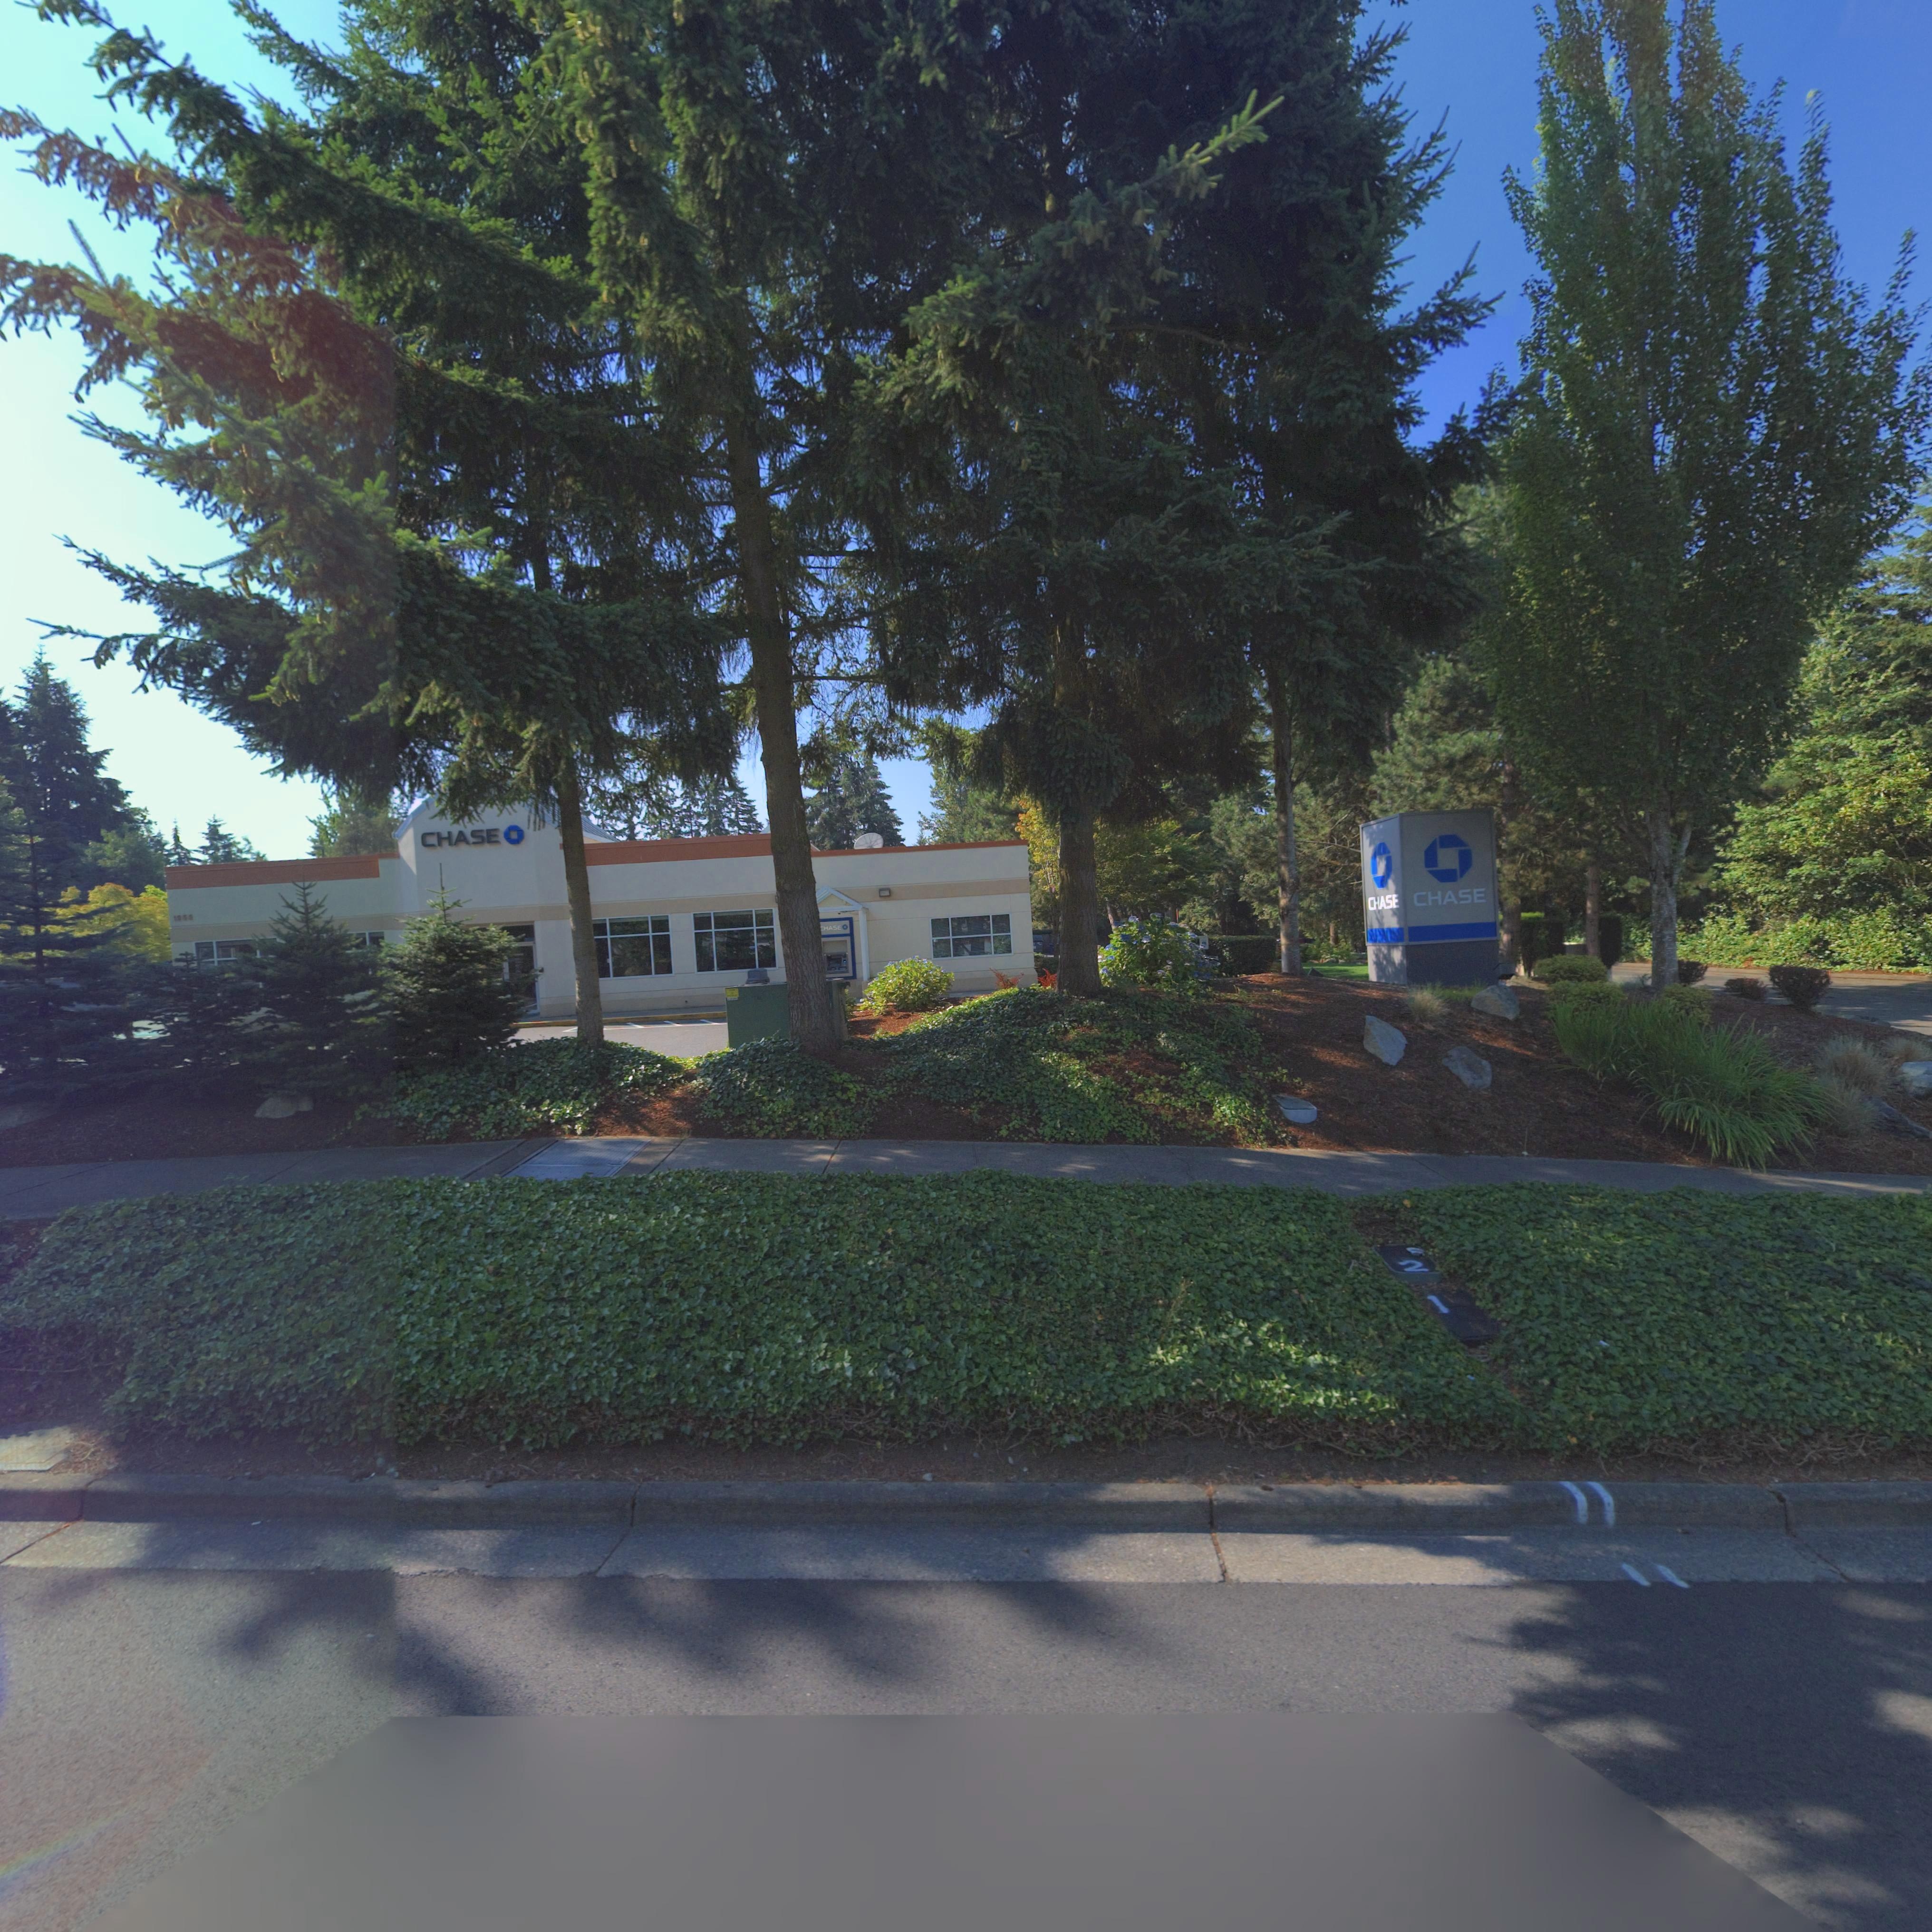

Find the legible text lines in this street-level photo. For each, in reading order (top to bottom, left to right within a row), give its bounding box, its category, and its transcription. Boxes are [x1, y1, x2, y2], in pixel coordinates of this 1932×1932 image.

[421, 828, 500, 848] BusinessName: CHASE
[1367, 893, 1400, 911] BusinessName: CHASE
[1413, 888, 1487, 907] BusinessName: CHASE
[823, 925, 841, 930] BusinessName: HASE